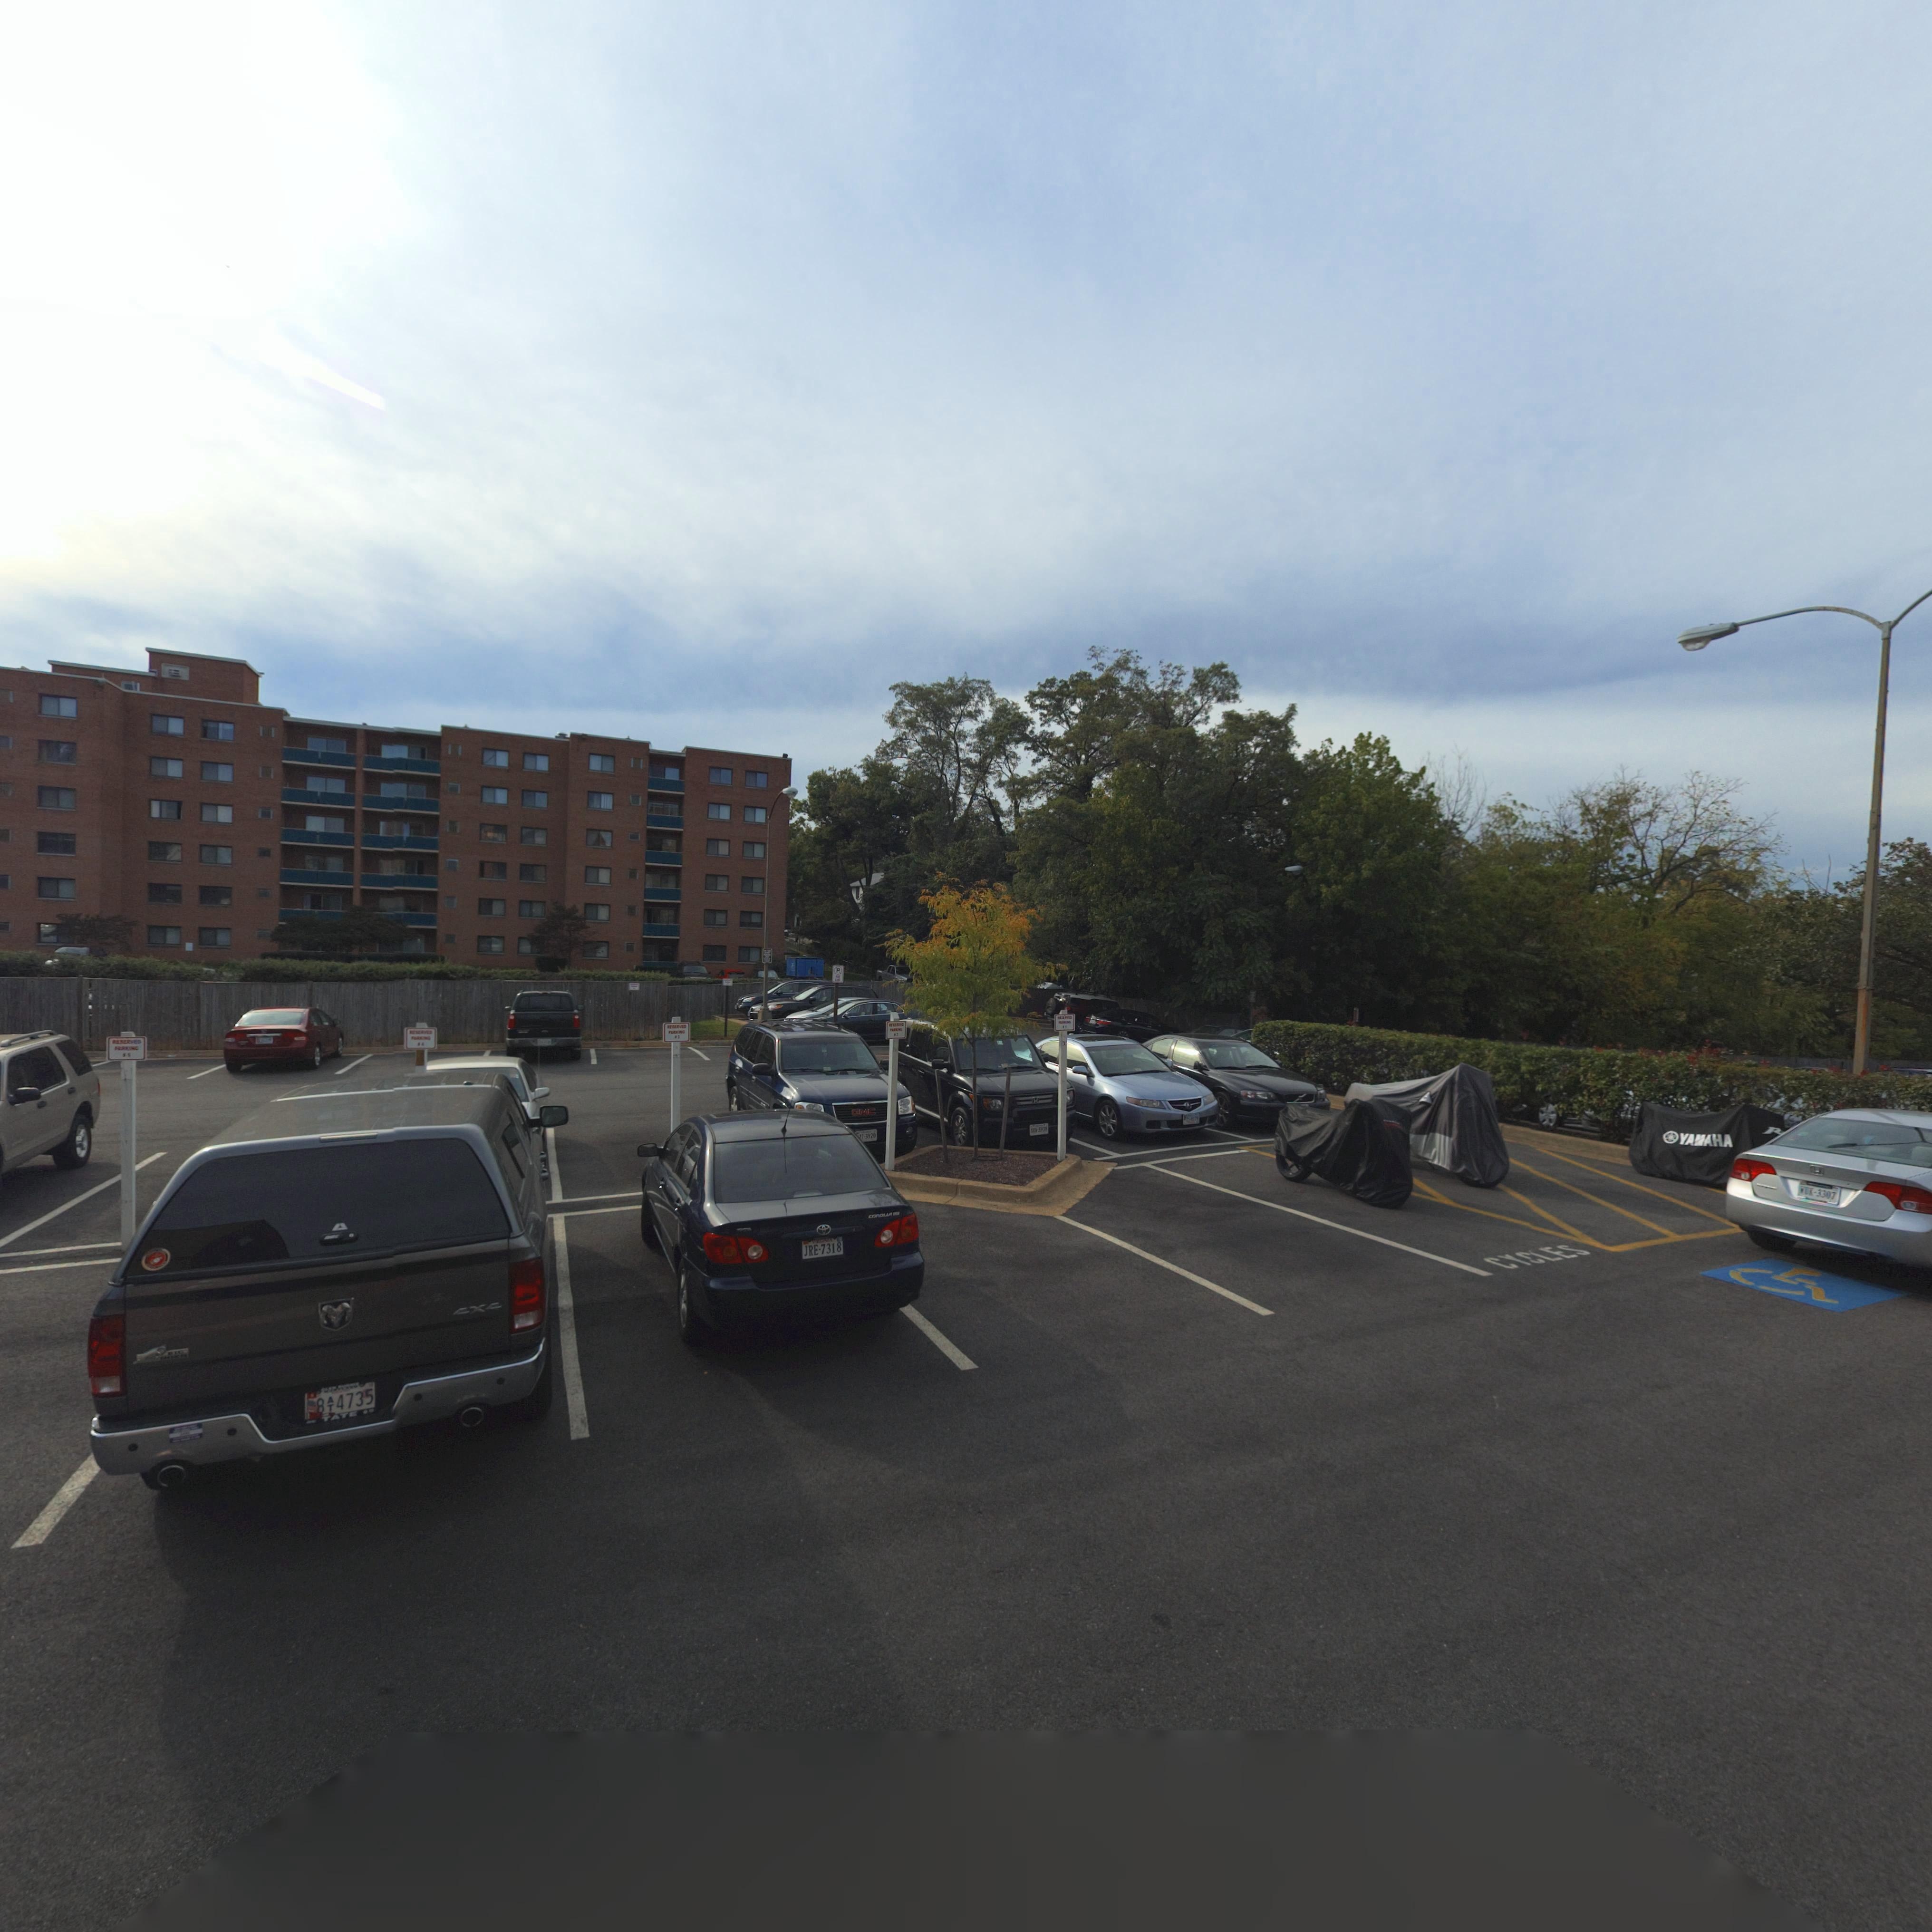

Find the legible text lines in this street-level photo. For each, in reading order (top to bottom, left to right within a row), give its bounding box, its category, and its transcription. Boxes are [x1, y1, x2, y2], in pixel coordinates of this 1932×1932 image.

[668, 1030, 680, 1034] None: PARKI
[666, 1024, 687, 1030] None: RESE*VED
[851, 1108, 877, 1116] None: GMC
[865, 1132, 877, 1140] None: 3920
[1037, 1127, 1041, 1133] None: 5
[1678, 1130, 1736, 1151] None: YAMAHA
[1816, 1187, 1839, 1202] None: 3307
[867, 1211, 893, 1219] None: COROLLA
[811, 1237, 835, 1245] None: VI*GINIA
[802, 1240, 842, 1257] None: JRE-7318
[1479, 1242, 1598, 1273] None: CYCLES
[451, 1300, 504, 1318] None: 4X4
[315, 1396, 326, 1416] None: 8
[325, 1394, 335, 1414] None: AT
[335, 1386, 376, 1411] None: 4735
[320, 1410, 359, 1424] None: TATE